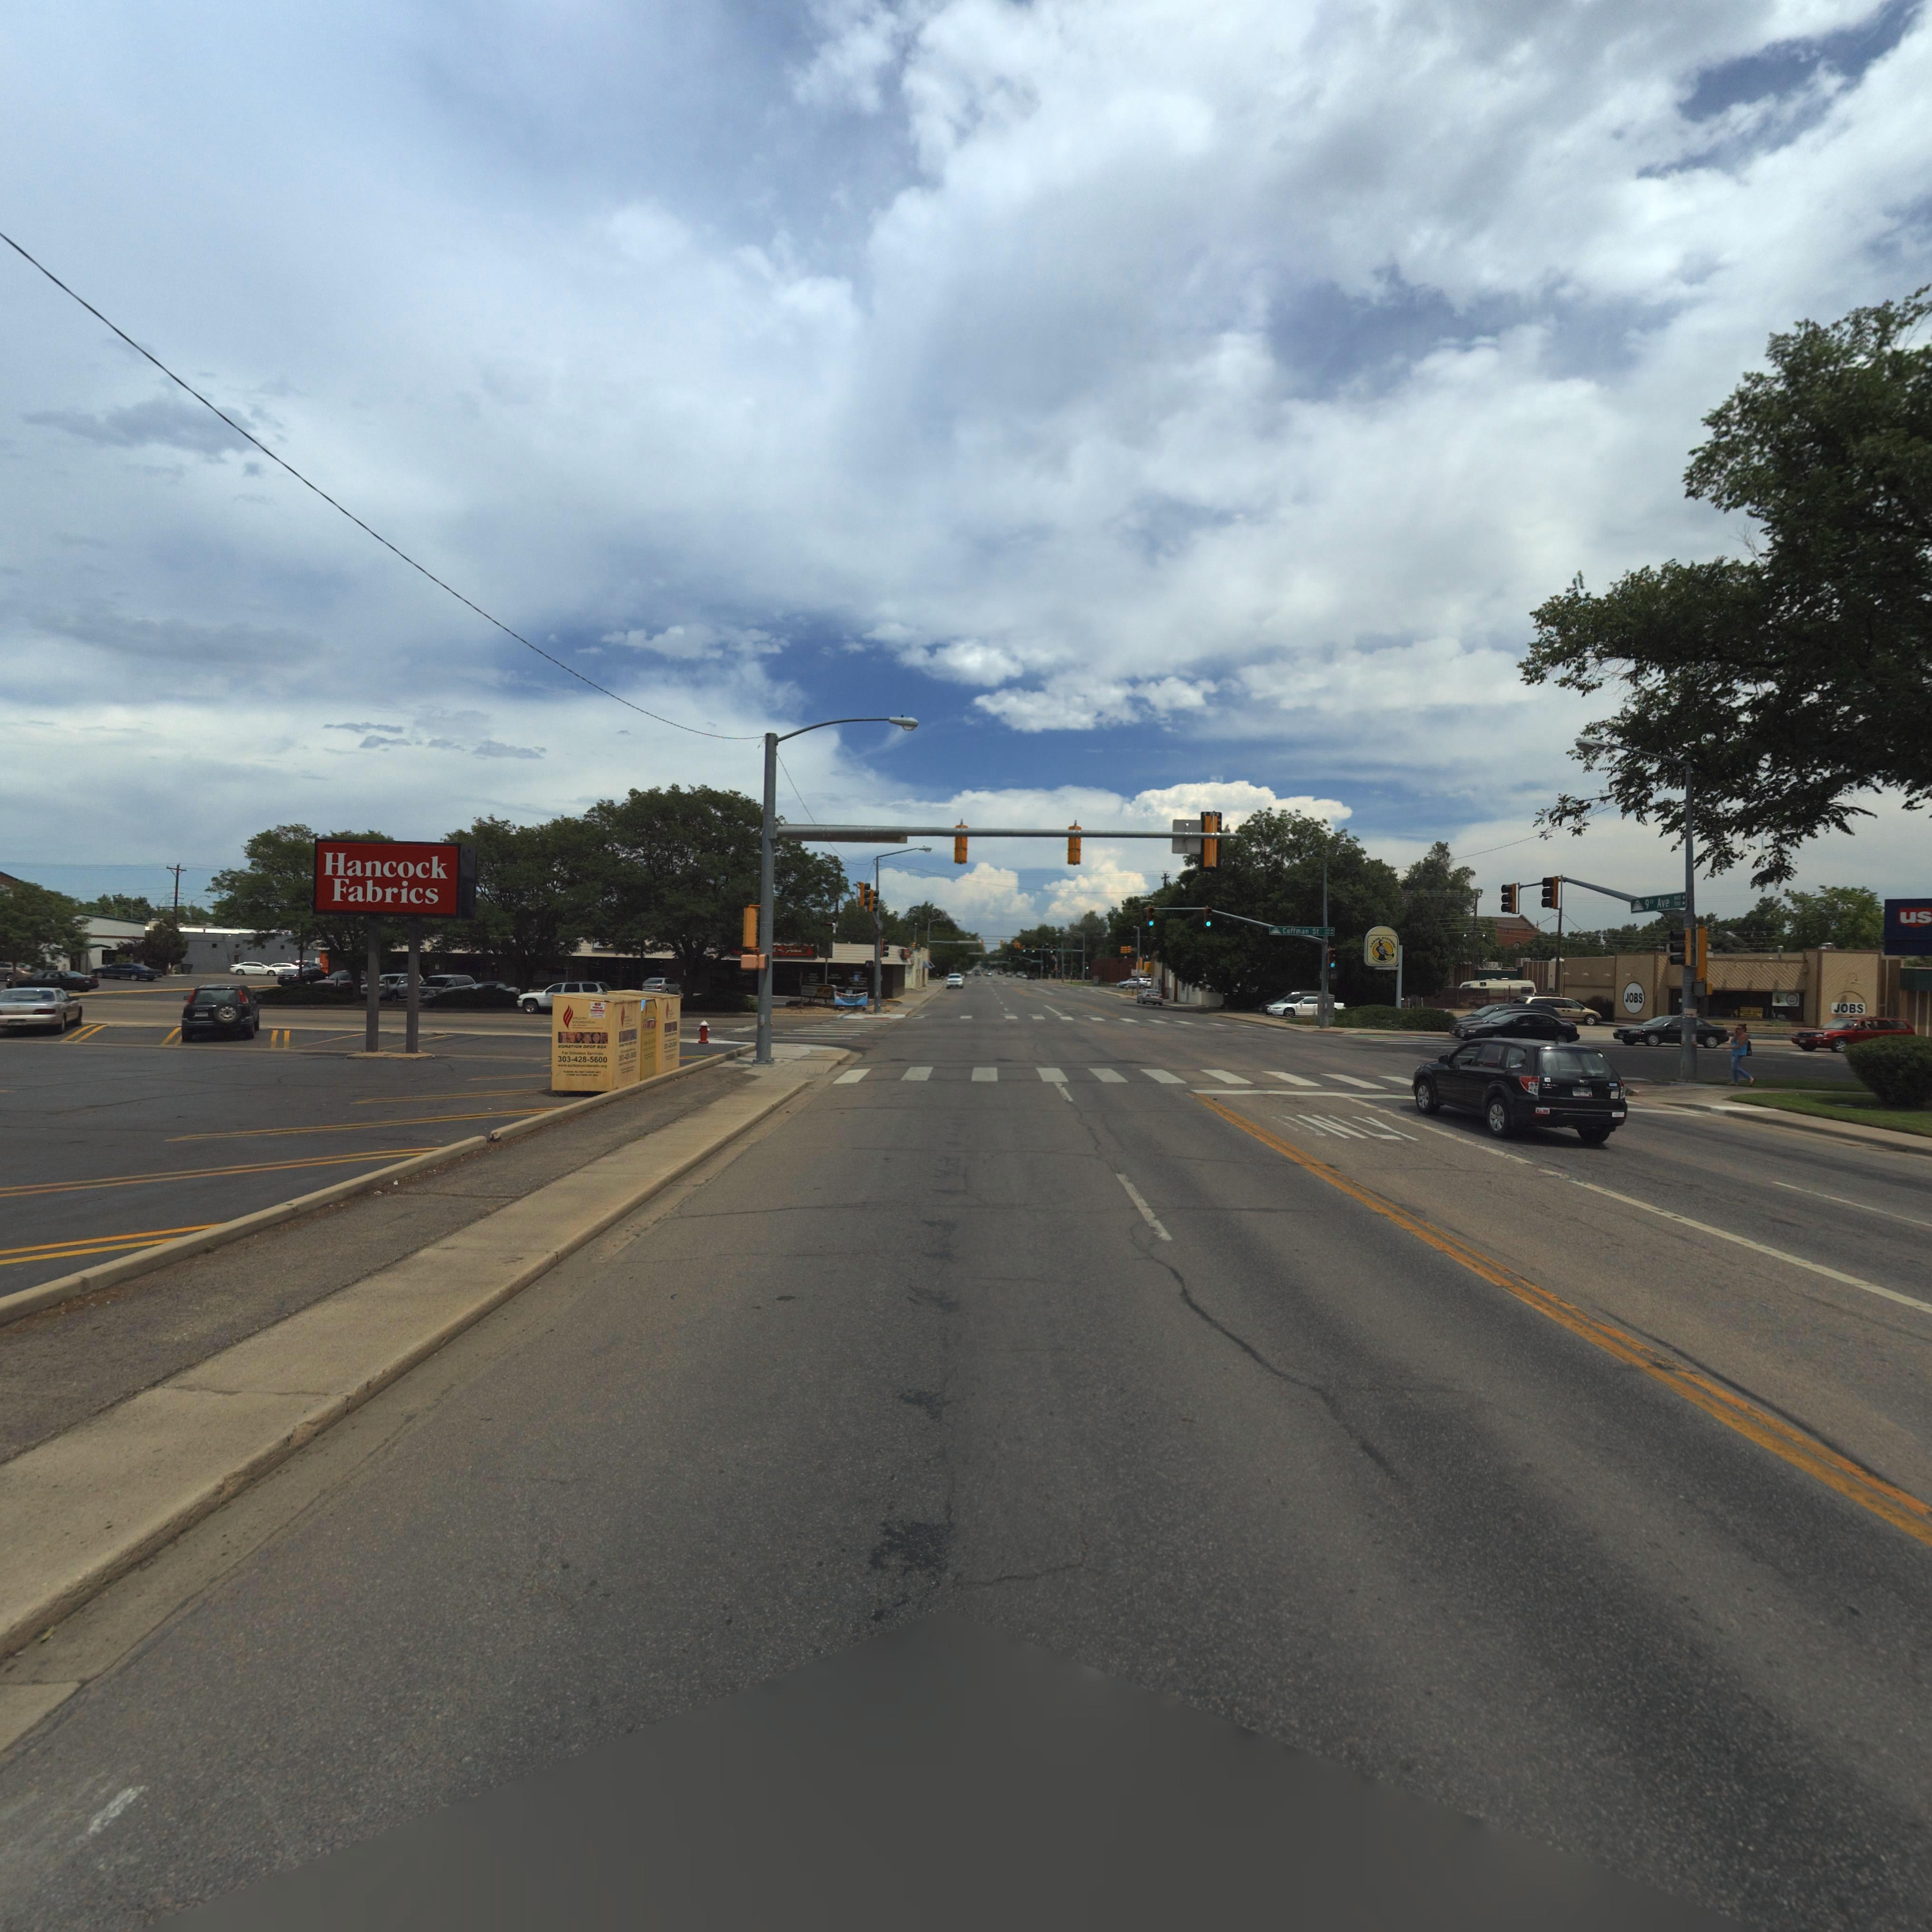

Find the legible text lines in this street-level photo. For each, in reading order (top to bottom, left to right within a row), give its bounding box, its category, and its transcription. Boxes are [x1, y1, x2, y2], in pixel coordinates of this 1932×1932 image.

[322, 851, 449, 879] BusinessName: Hancock
[331, 878, 440, 904] BusinessName: Fabrics
[1644, 897, 1670, 909] StreetName: 9th Ave
[1673, 895, 1681, 900] StreetNumberRange: *00
[1673, 900, 1686, 906] StreetNumberRange: *00->
[1899, 911, 1932, 924] BusinessName: us
[1282, 927, 1320, 934] StreetName: Coffman St
[1369, 936, 1396, 948] BusinessName: LABO* ***T*M*